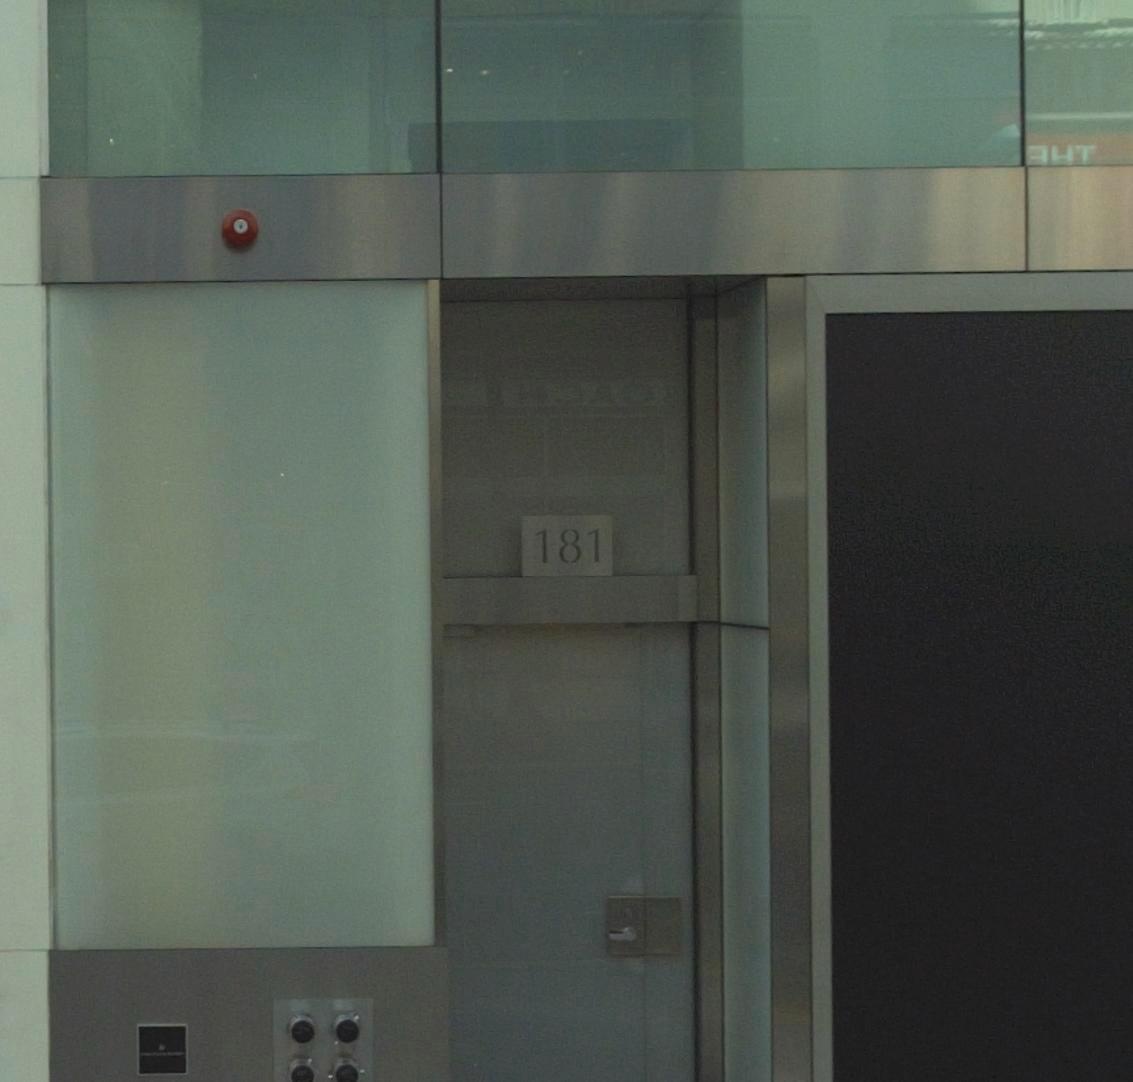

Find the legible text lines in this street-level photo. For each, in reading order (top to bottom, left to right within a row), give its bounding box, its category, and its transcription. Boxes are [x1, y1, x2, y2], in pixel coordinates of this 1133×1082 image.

[512, 377, 661, 411] None: *AO
[531, 523, 608, 567] StreetNumber: 181